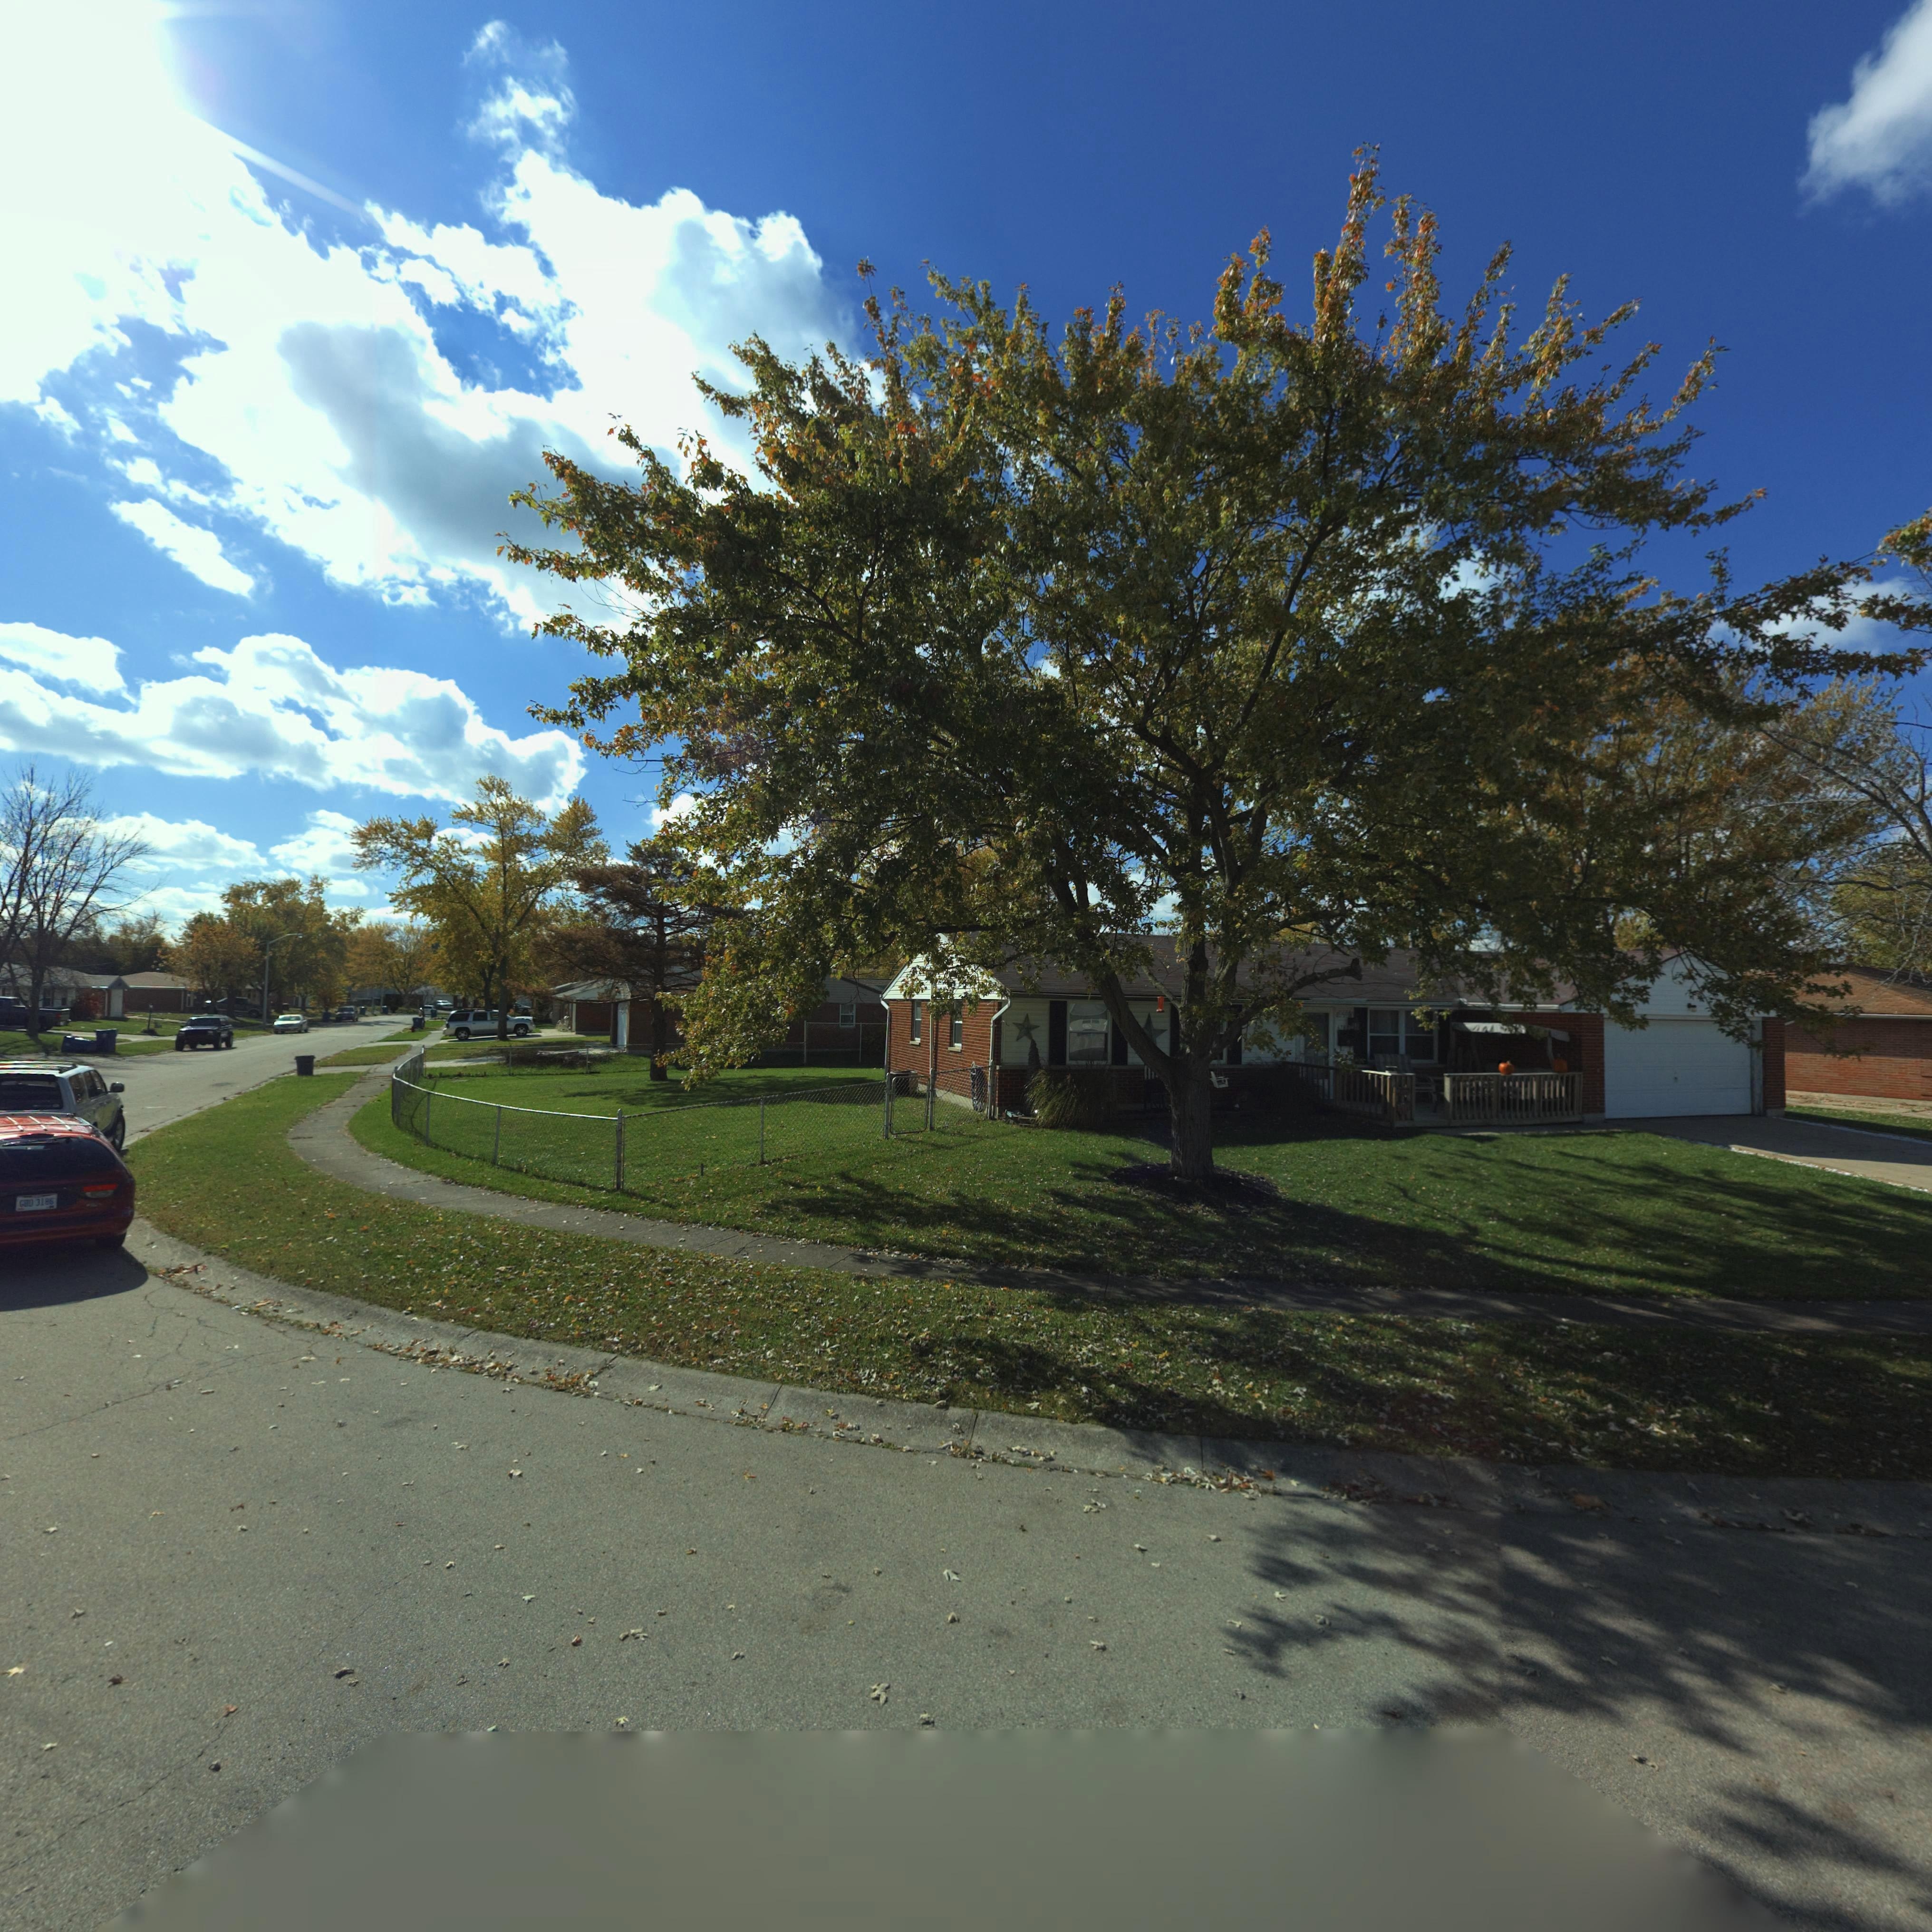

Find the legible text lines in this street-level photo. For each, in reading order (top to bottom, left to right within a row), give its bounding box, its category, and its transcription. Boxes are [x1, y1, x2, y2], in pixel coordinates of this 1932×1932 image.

[1337, 1024, 1349, 1029] StreetNumber: 67**